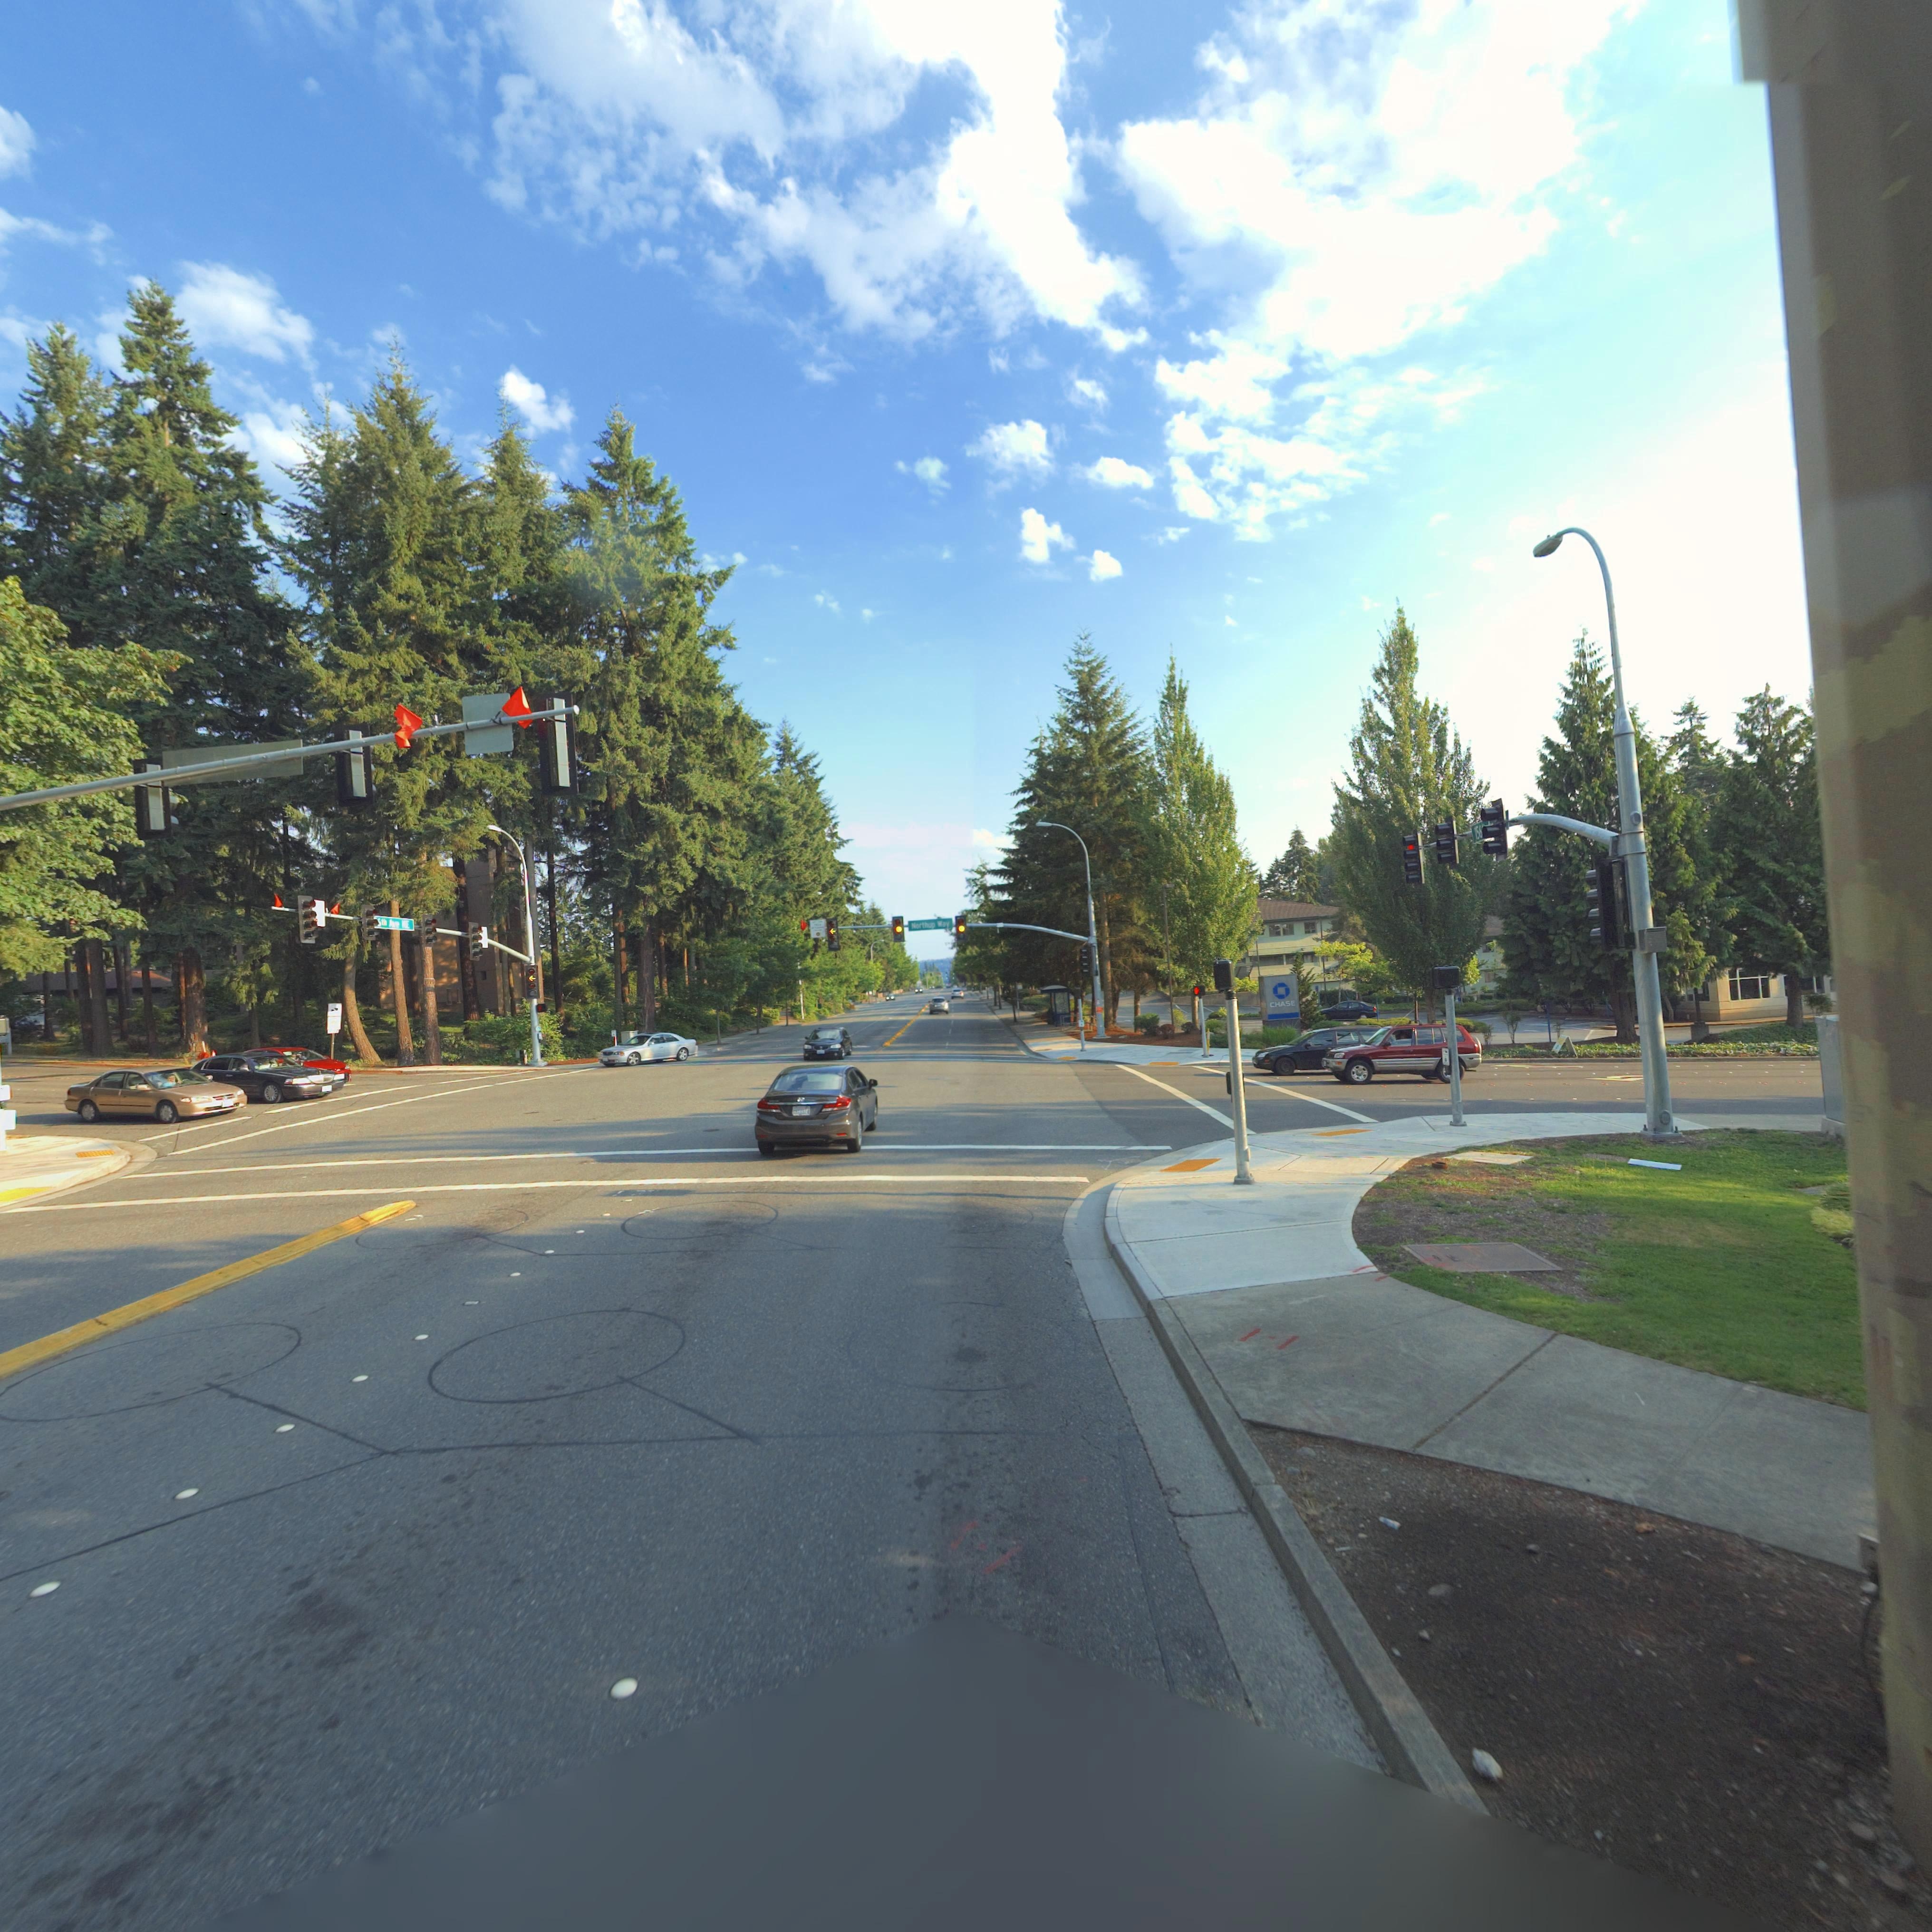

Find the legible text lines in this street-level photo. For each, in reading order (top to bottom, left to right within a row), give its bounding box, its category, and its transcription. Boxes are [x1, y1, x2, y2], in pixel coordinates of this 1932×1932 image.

[1474, 824, 1483, 840] StreetName: 156
[376, 917, 410, 929] StreetName: *th Ave NE
[911, 920, 949, 929] StreetName: Northup Way
[1269, 1001, 1296, 1007] BusinessName: CHASE